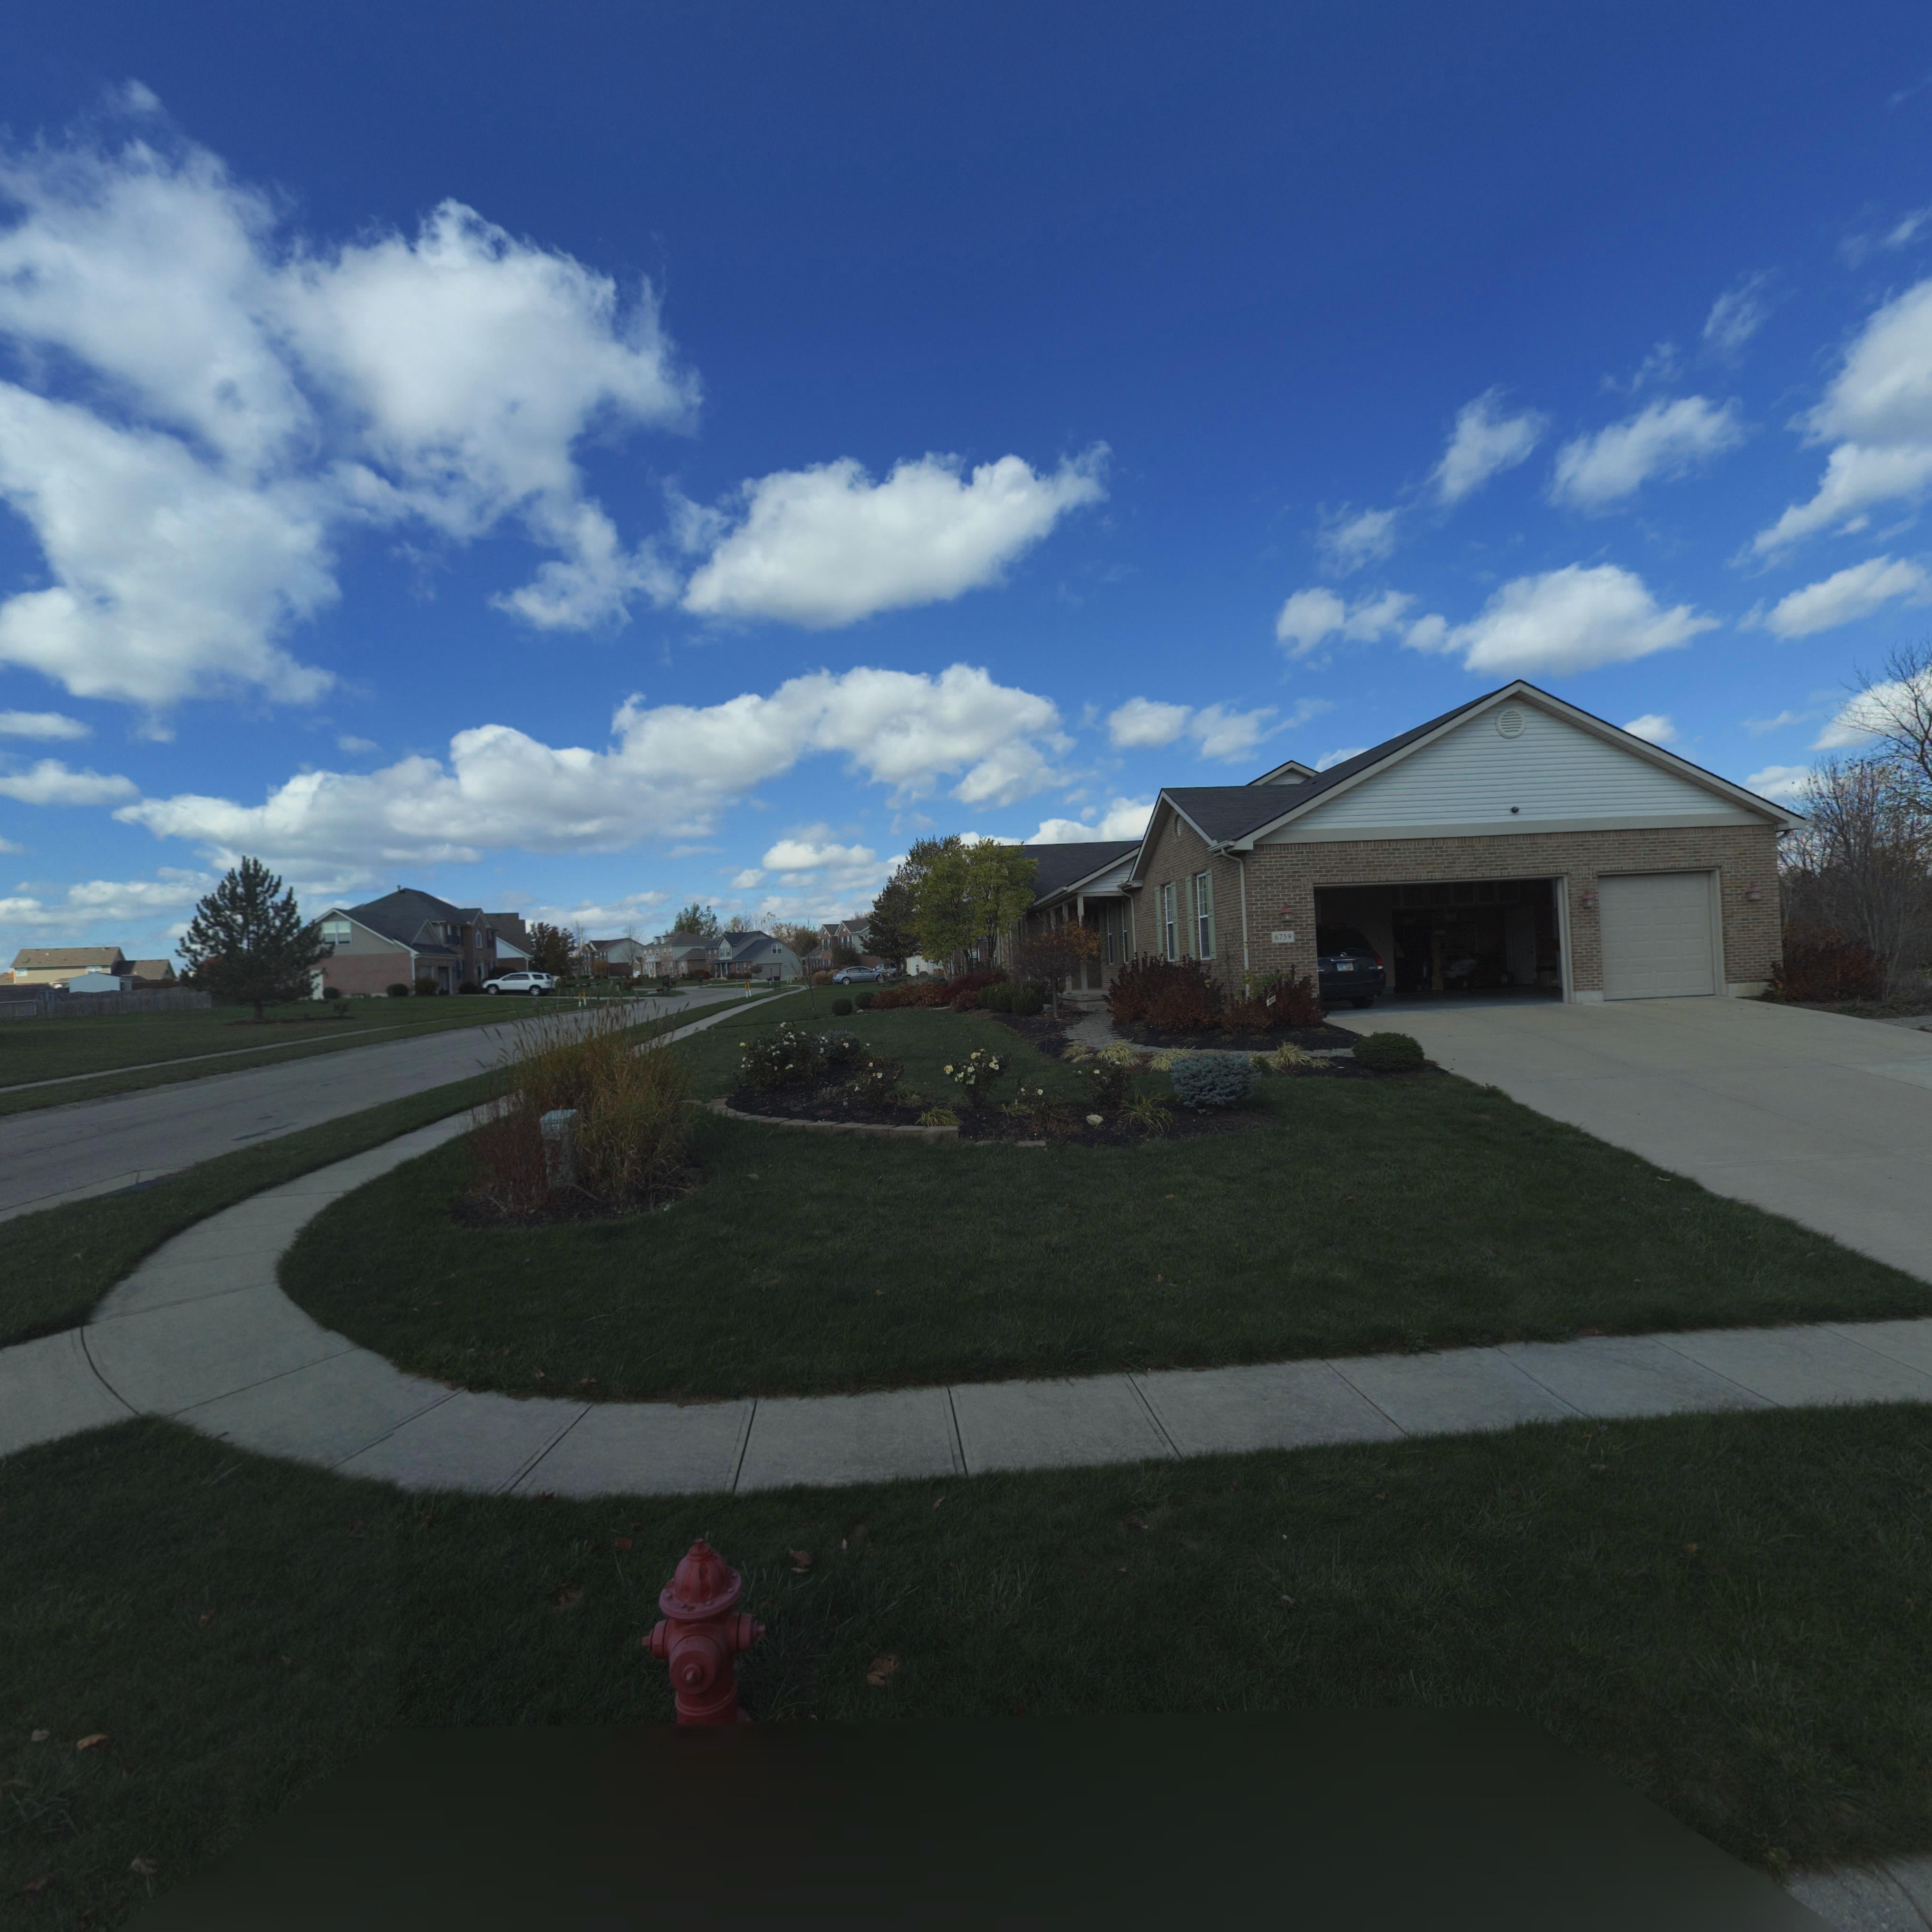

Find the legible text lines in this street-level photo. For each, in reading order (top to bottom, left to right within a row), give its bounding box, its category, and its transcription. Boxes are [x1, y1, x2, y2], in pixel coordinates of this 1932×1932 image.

[1274, 933, 1292, 941] StreetNumber: 6759